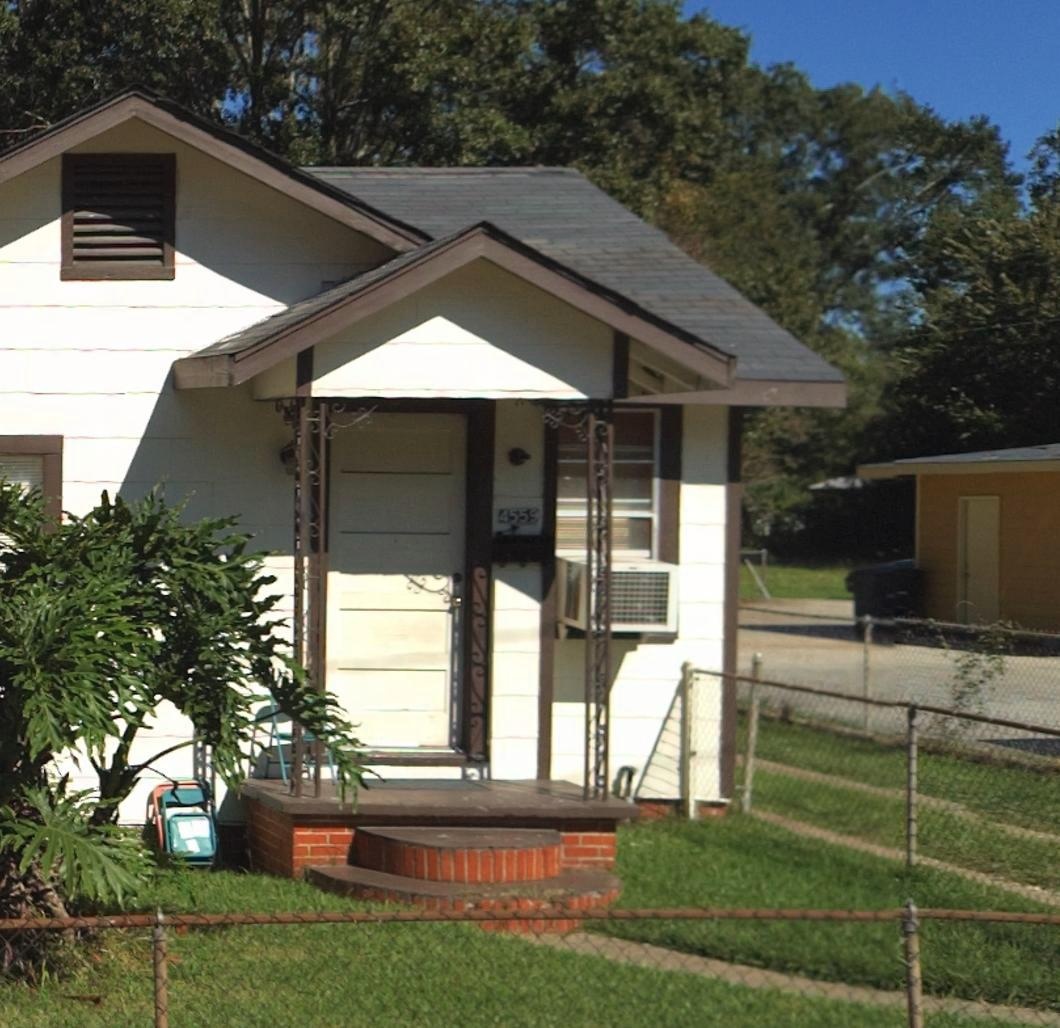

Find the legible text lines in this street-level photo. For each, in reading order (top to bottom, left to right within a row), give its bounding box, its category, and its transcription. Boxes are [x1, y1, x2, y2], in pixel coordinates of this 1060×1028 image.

[498, 508, 539, 523] StreetNumber: 4559